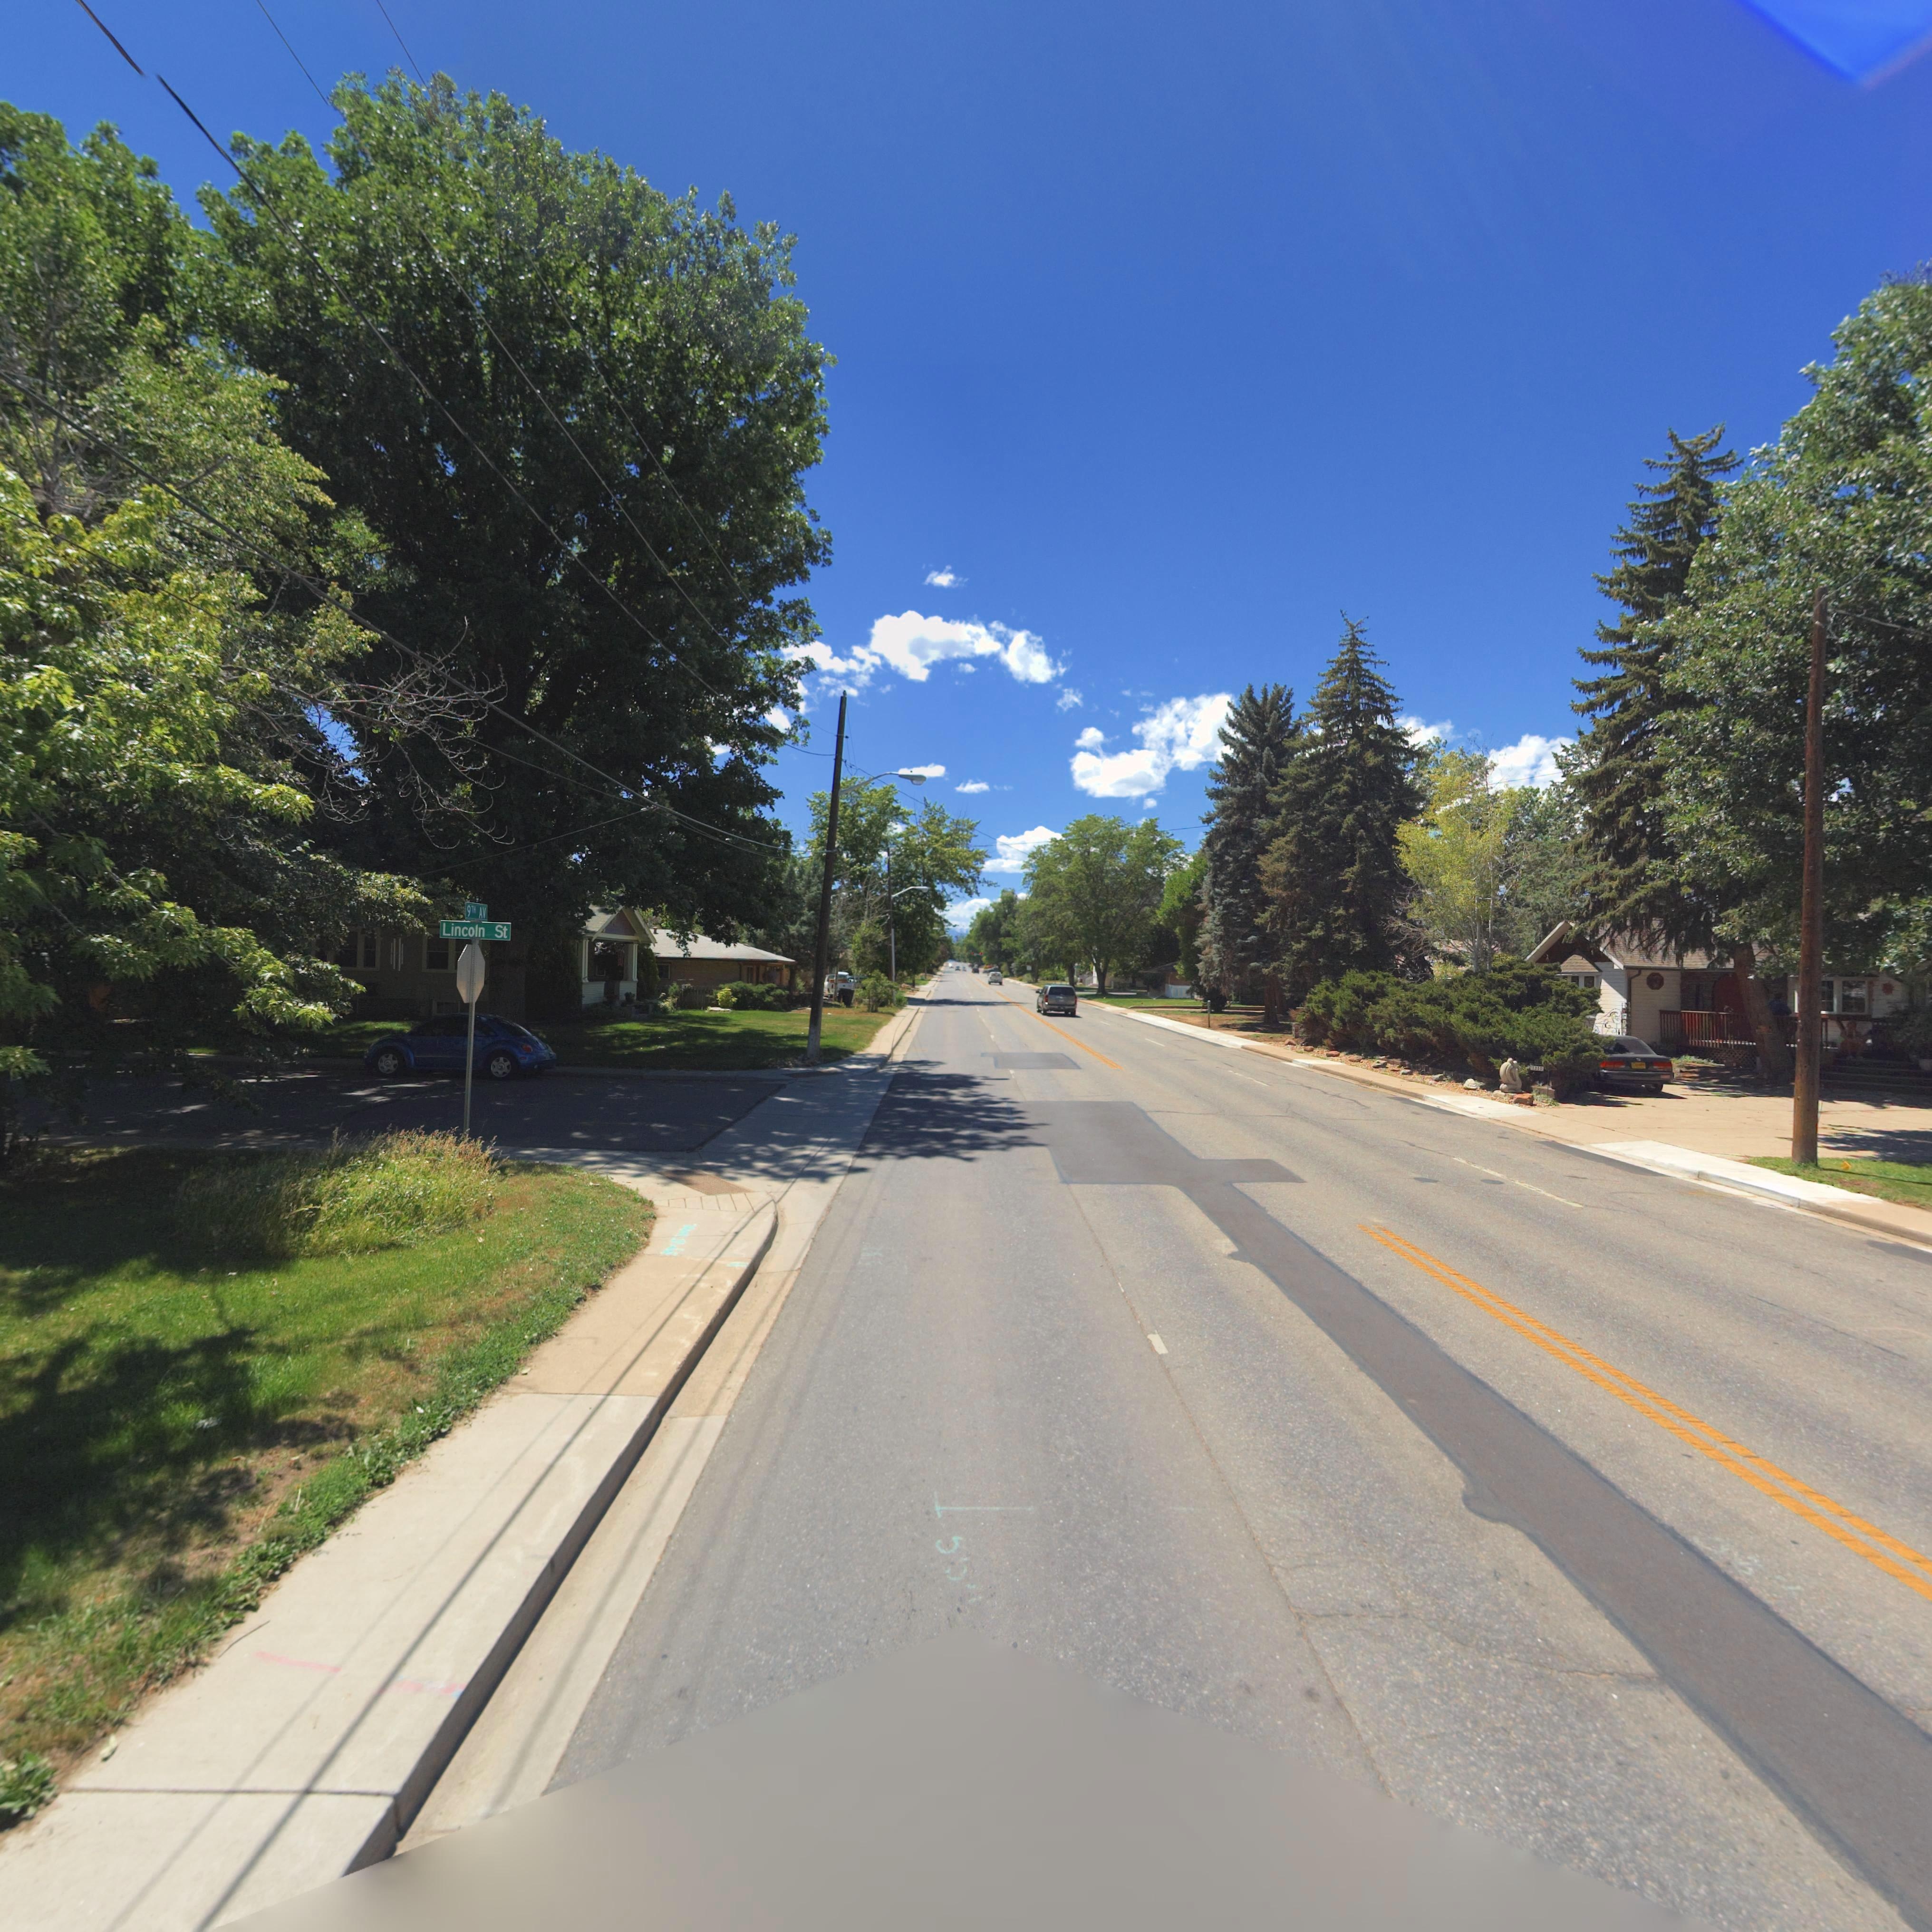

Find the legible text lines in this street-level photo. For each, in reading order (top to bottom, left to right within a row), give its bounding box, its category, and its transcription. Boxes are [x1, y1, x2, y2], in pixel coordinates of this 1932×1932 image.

[466, 905, 486, 919] StreetName: 9TH AV
[442, 922, 508, 938] StreetName: Lincoln St
[1533, 1065, 1543, 1071] StreetNumber: 1310